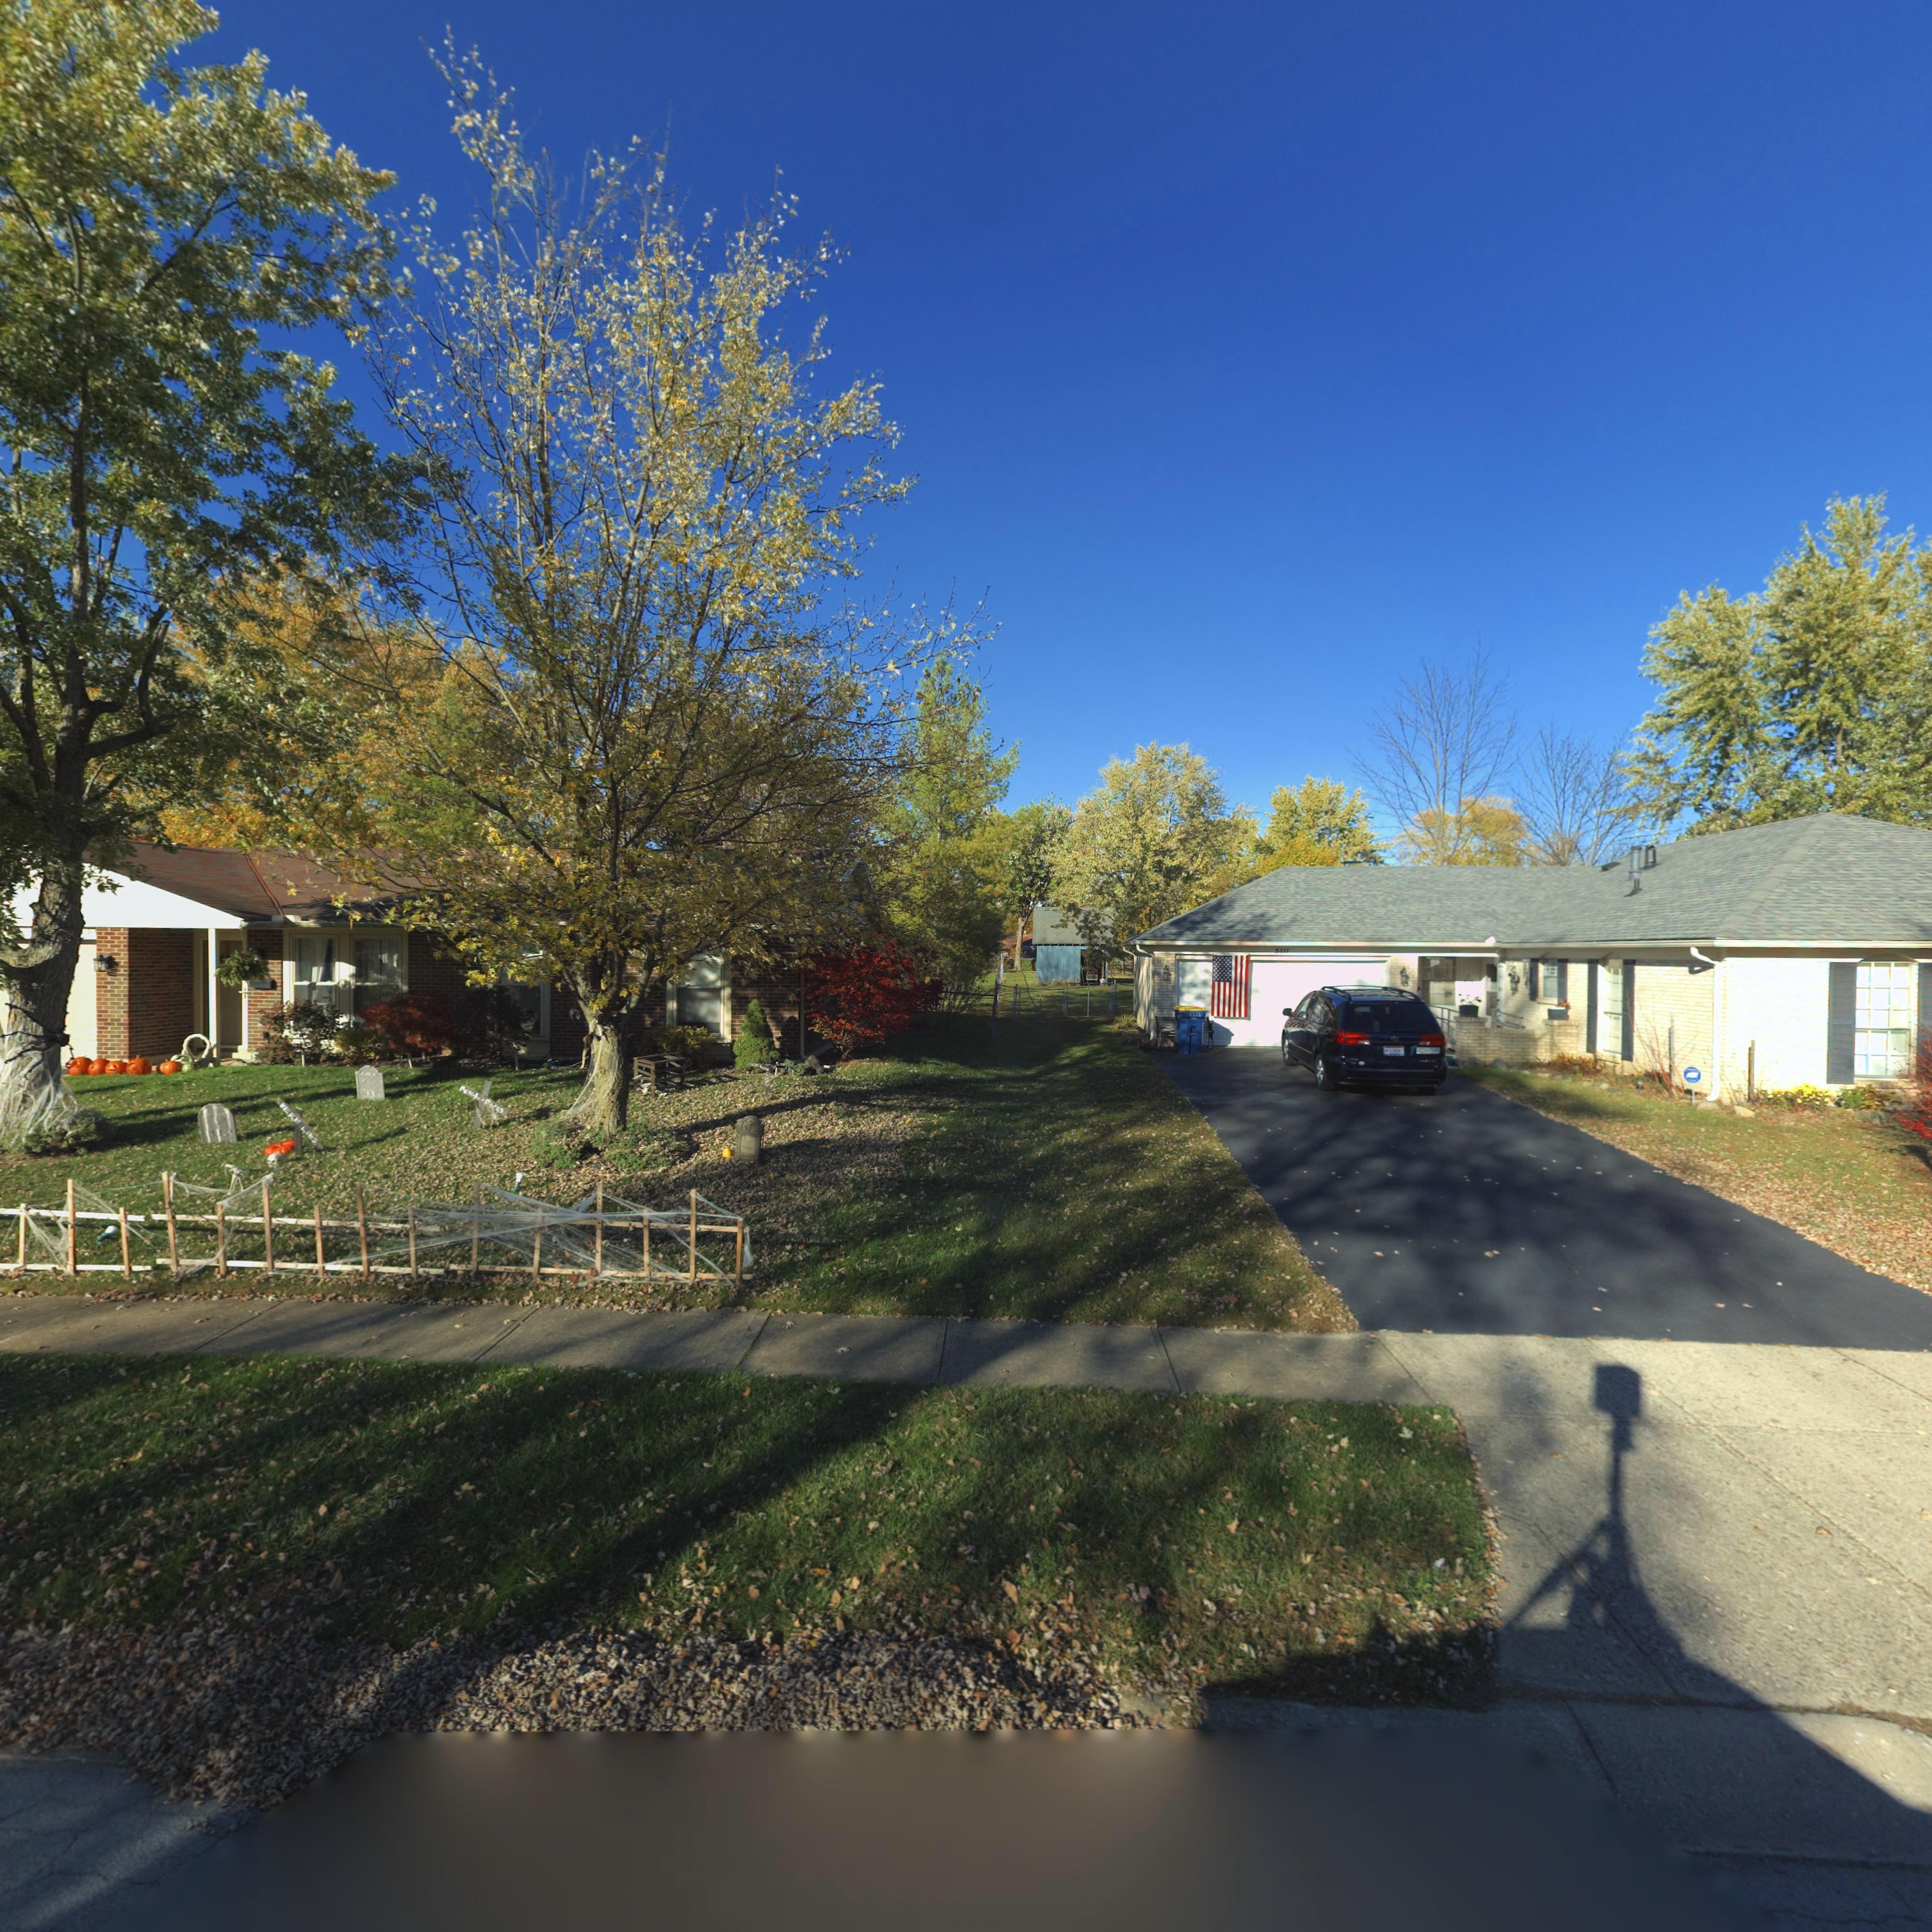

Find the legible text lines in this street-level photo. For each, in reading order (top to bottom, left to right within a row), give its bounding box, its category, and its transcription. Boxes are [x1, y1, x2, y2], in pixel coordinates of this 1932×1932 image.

[1274, 948, 1290, 954] StreetNumber: 5111